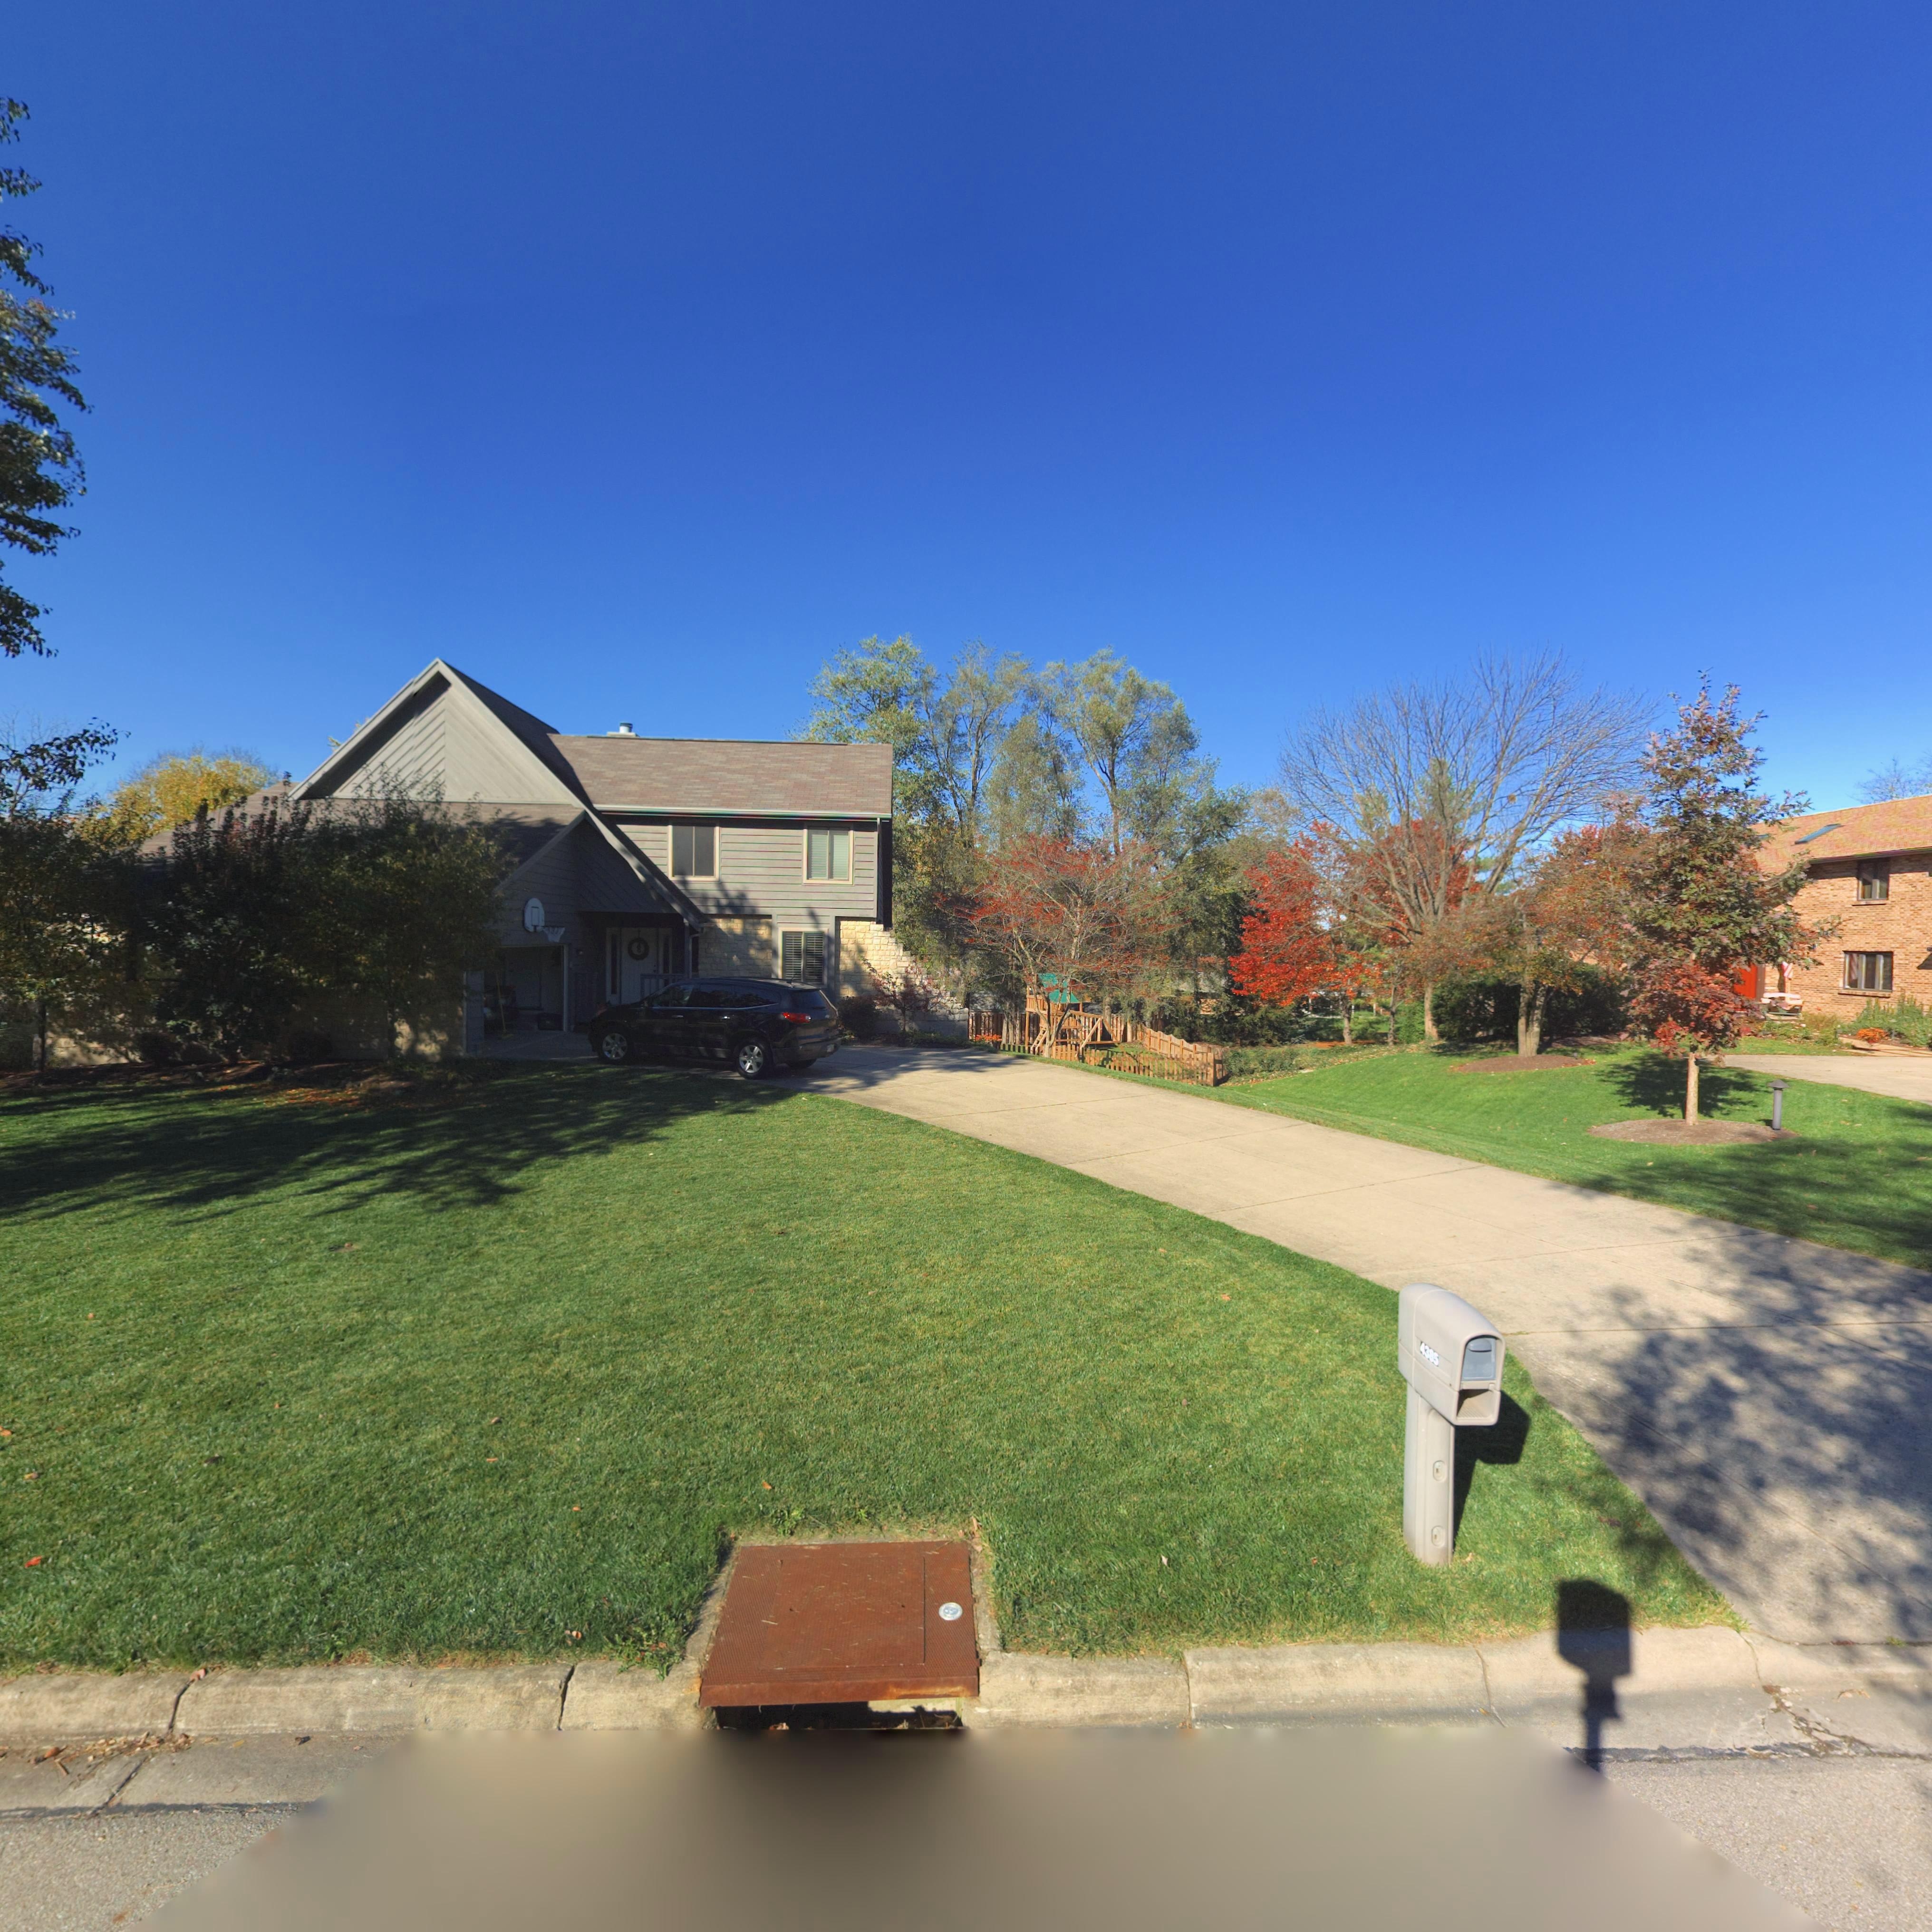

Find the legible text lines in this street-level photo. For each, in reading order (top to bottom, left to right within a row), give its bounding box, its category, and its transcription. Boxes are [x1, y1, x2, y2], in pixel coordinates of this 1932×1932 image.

[1420, 1340, 1439, 1367] StreetNumber: 4385